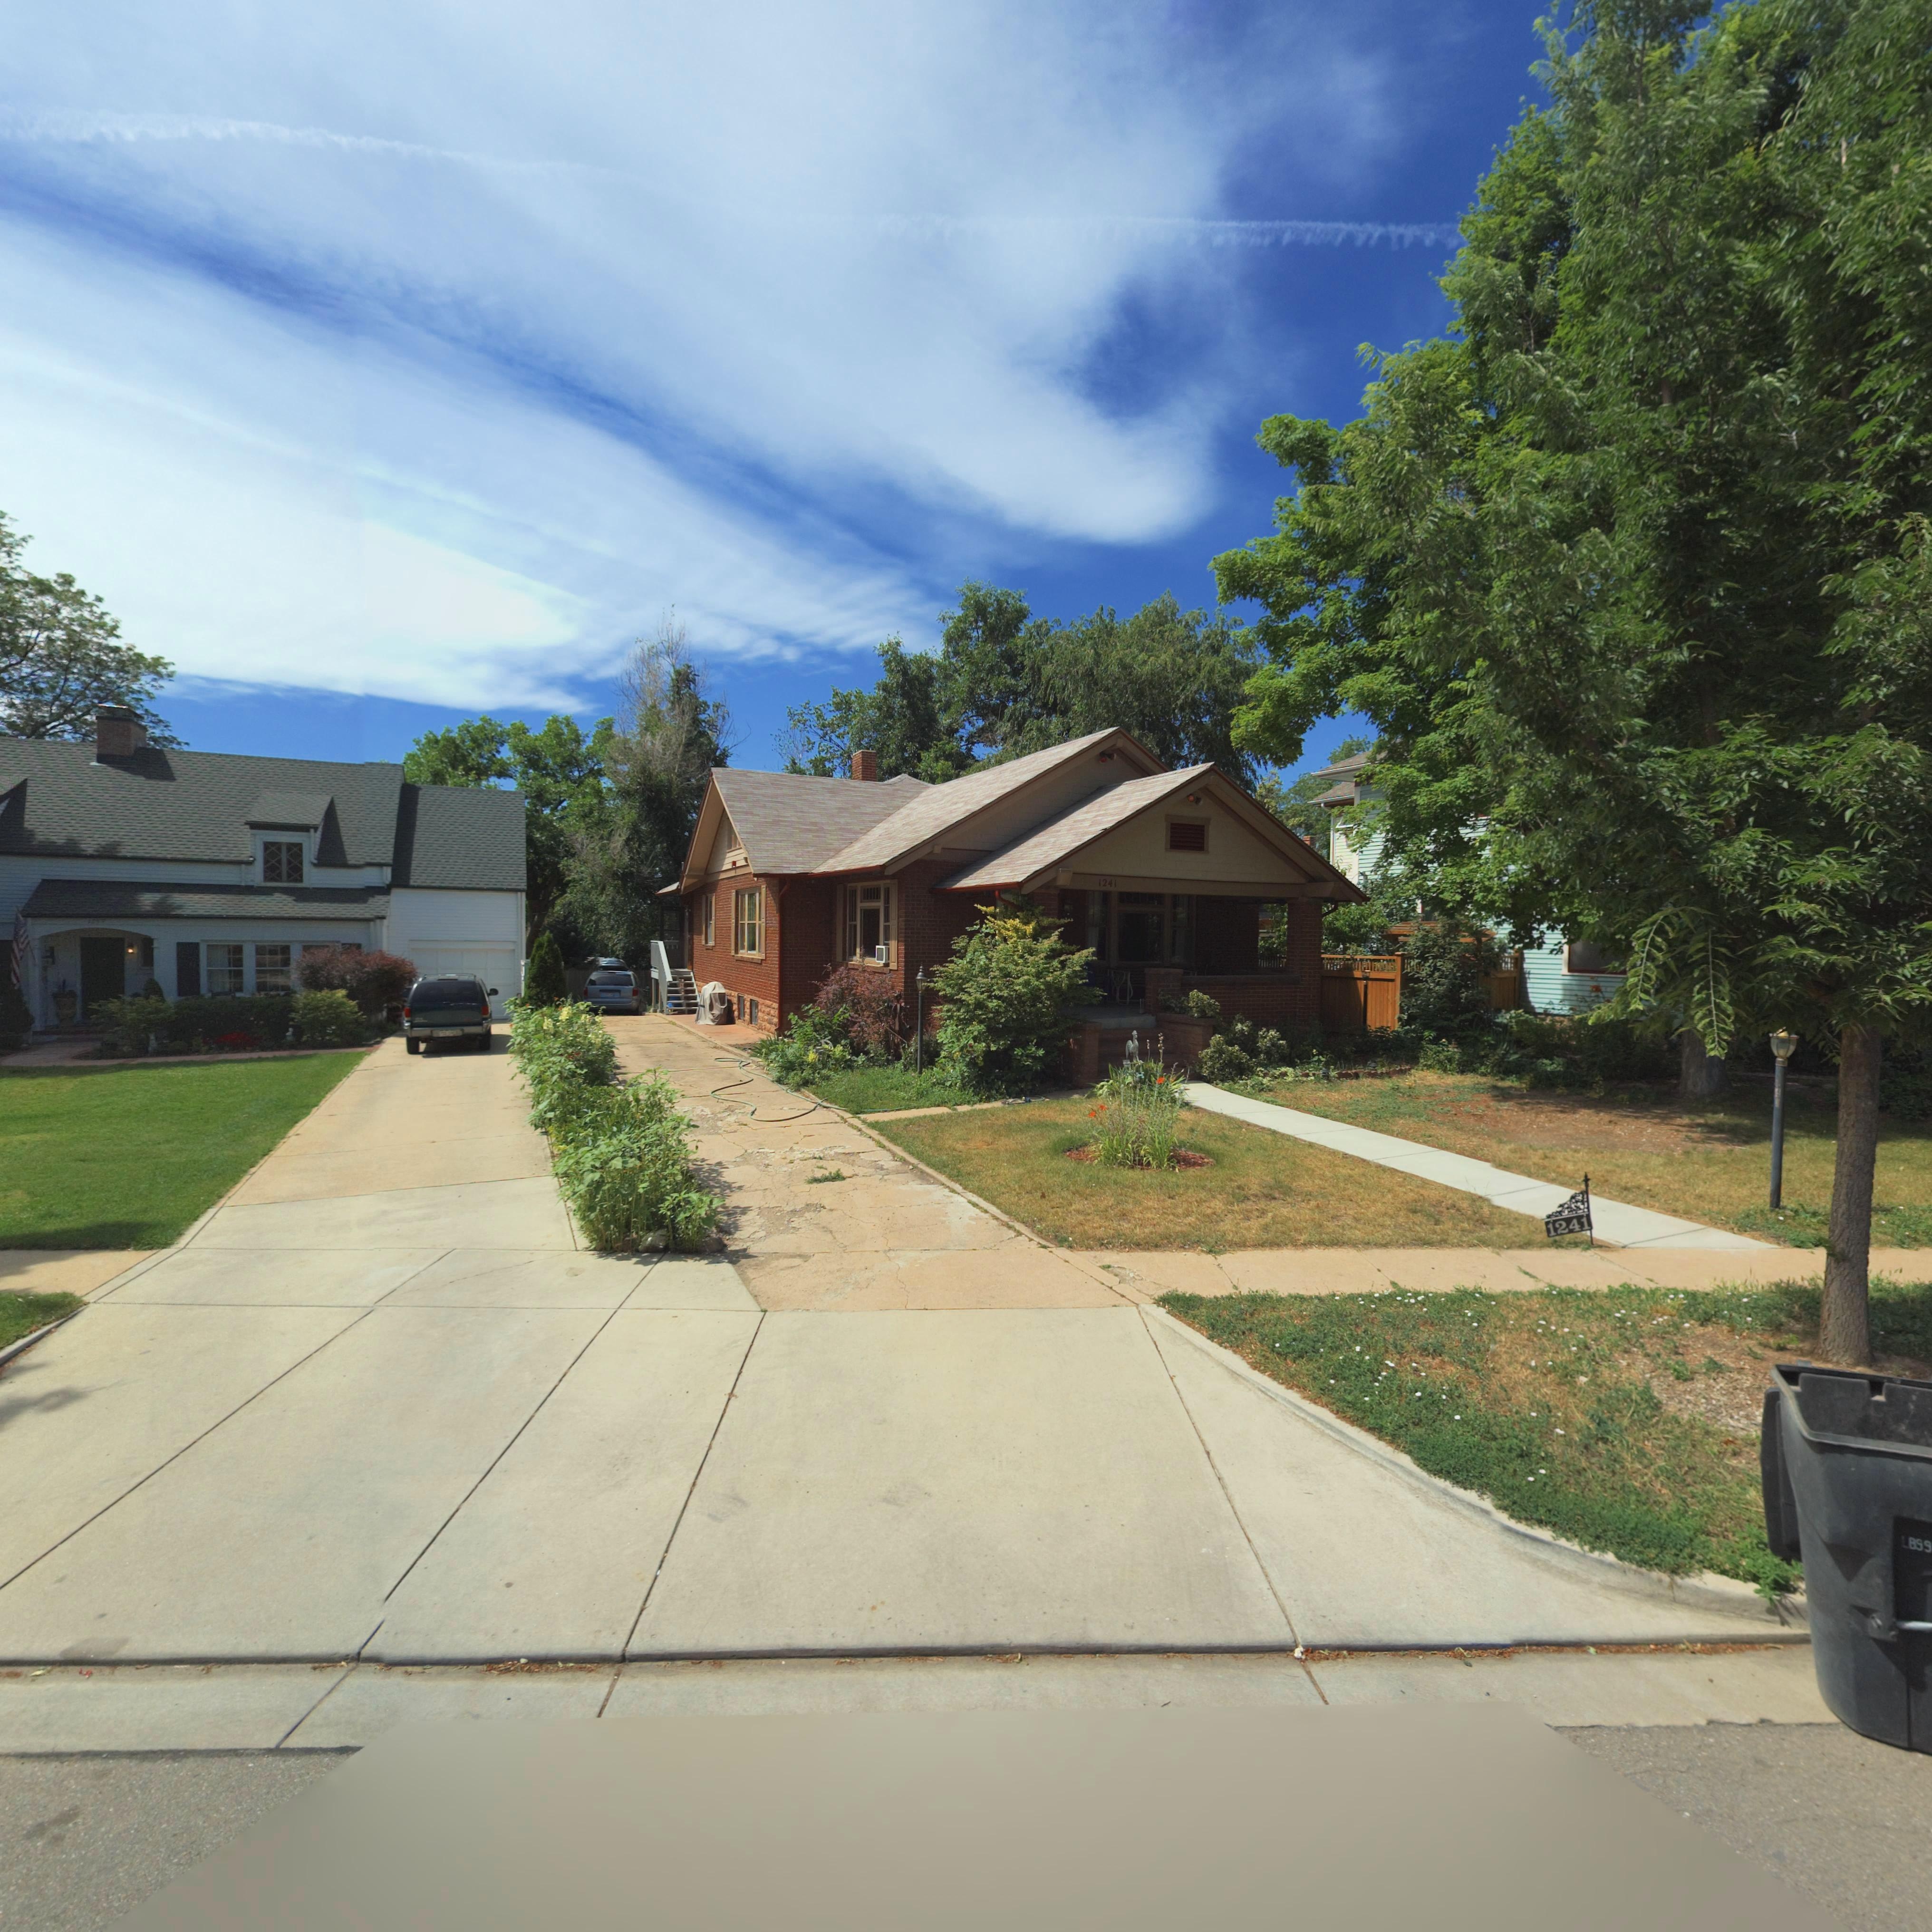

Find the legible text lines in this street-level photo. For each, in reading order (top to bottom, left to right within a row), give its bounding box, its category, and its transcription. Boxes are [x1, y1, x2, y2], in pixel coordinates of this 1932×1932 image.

[1099, 878, 1116, 888] StreetNumber: 1241
[87, 918, 106, 924] StreetNumber: 1237
[1546, 1216, 1591, 1236] StreetNumber: 1241